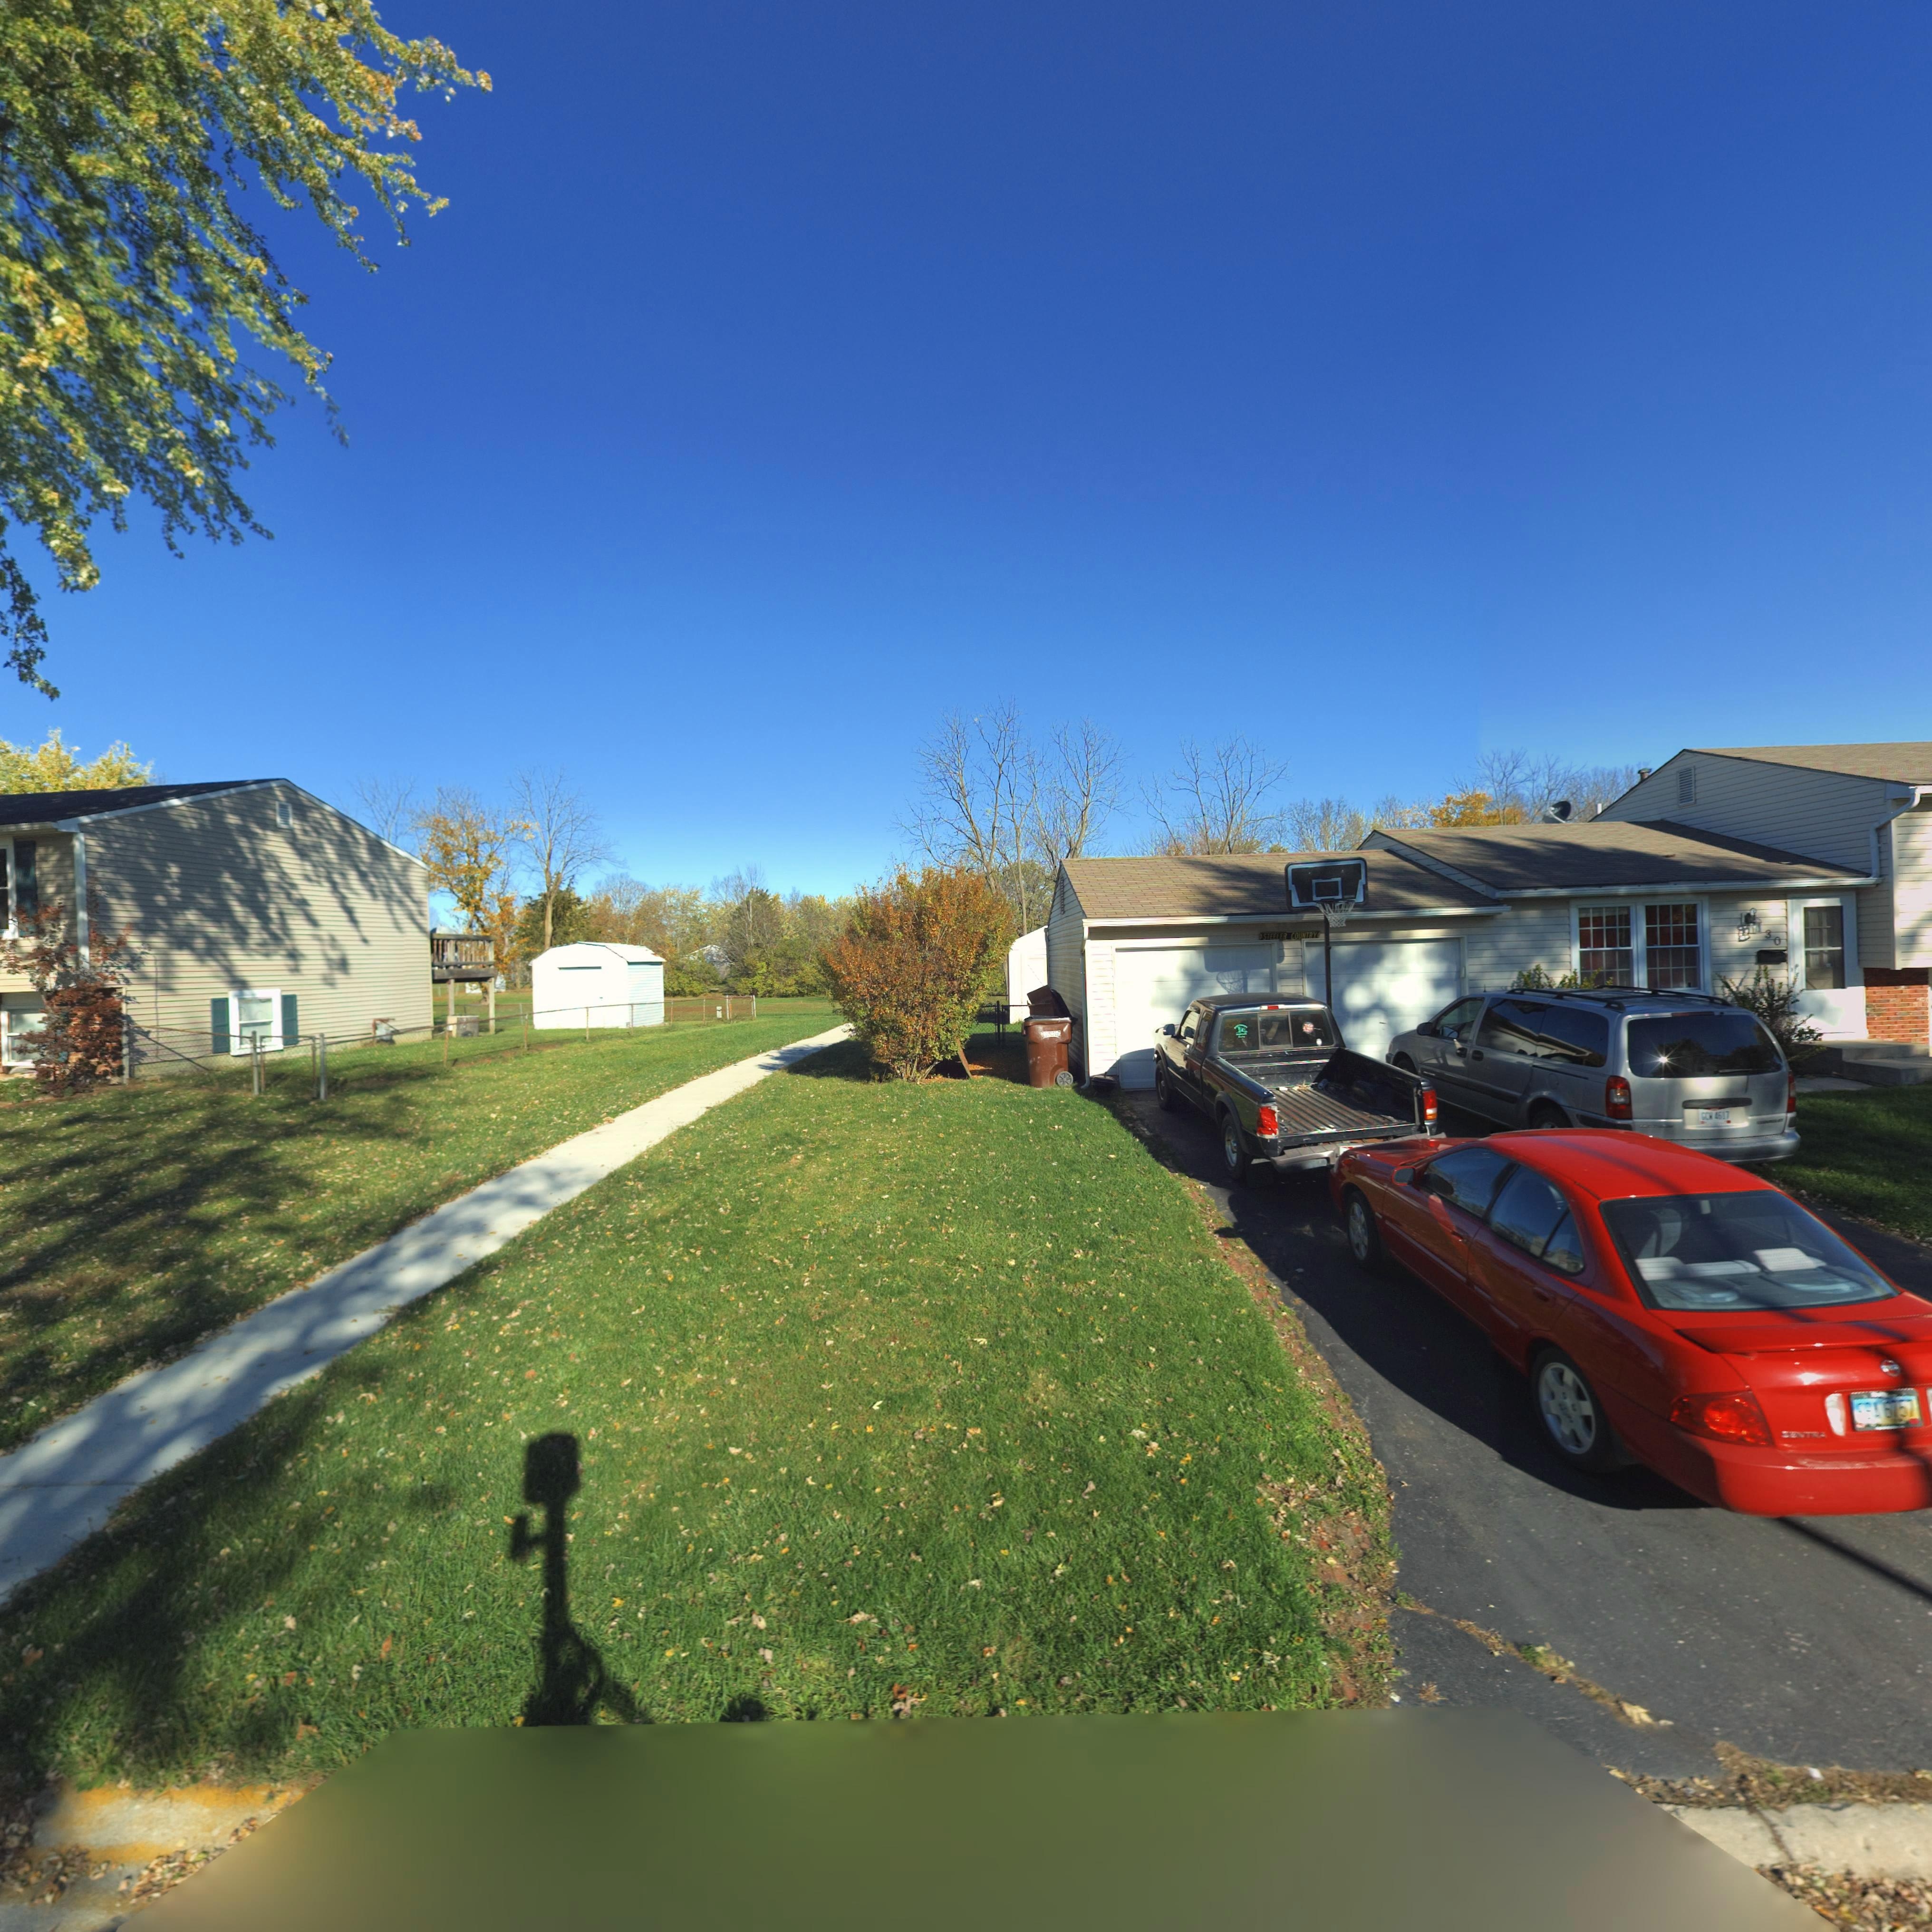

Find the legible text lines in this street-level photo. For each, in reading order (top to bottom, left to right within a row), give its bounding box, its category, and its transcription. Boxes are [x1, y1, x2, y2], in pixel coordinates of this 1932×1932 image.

[1758, 922, 1782, 946] StreetNumber: 130